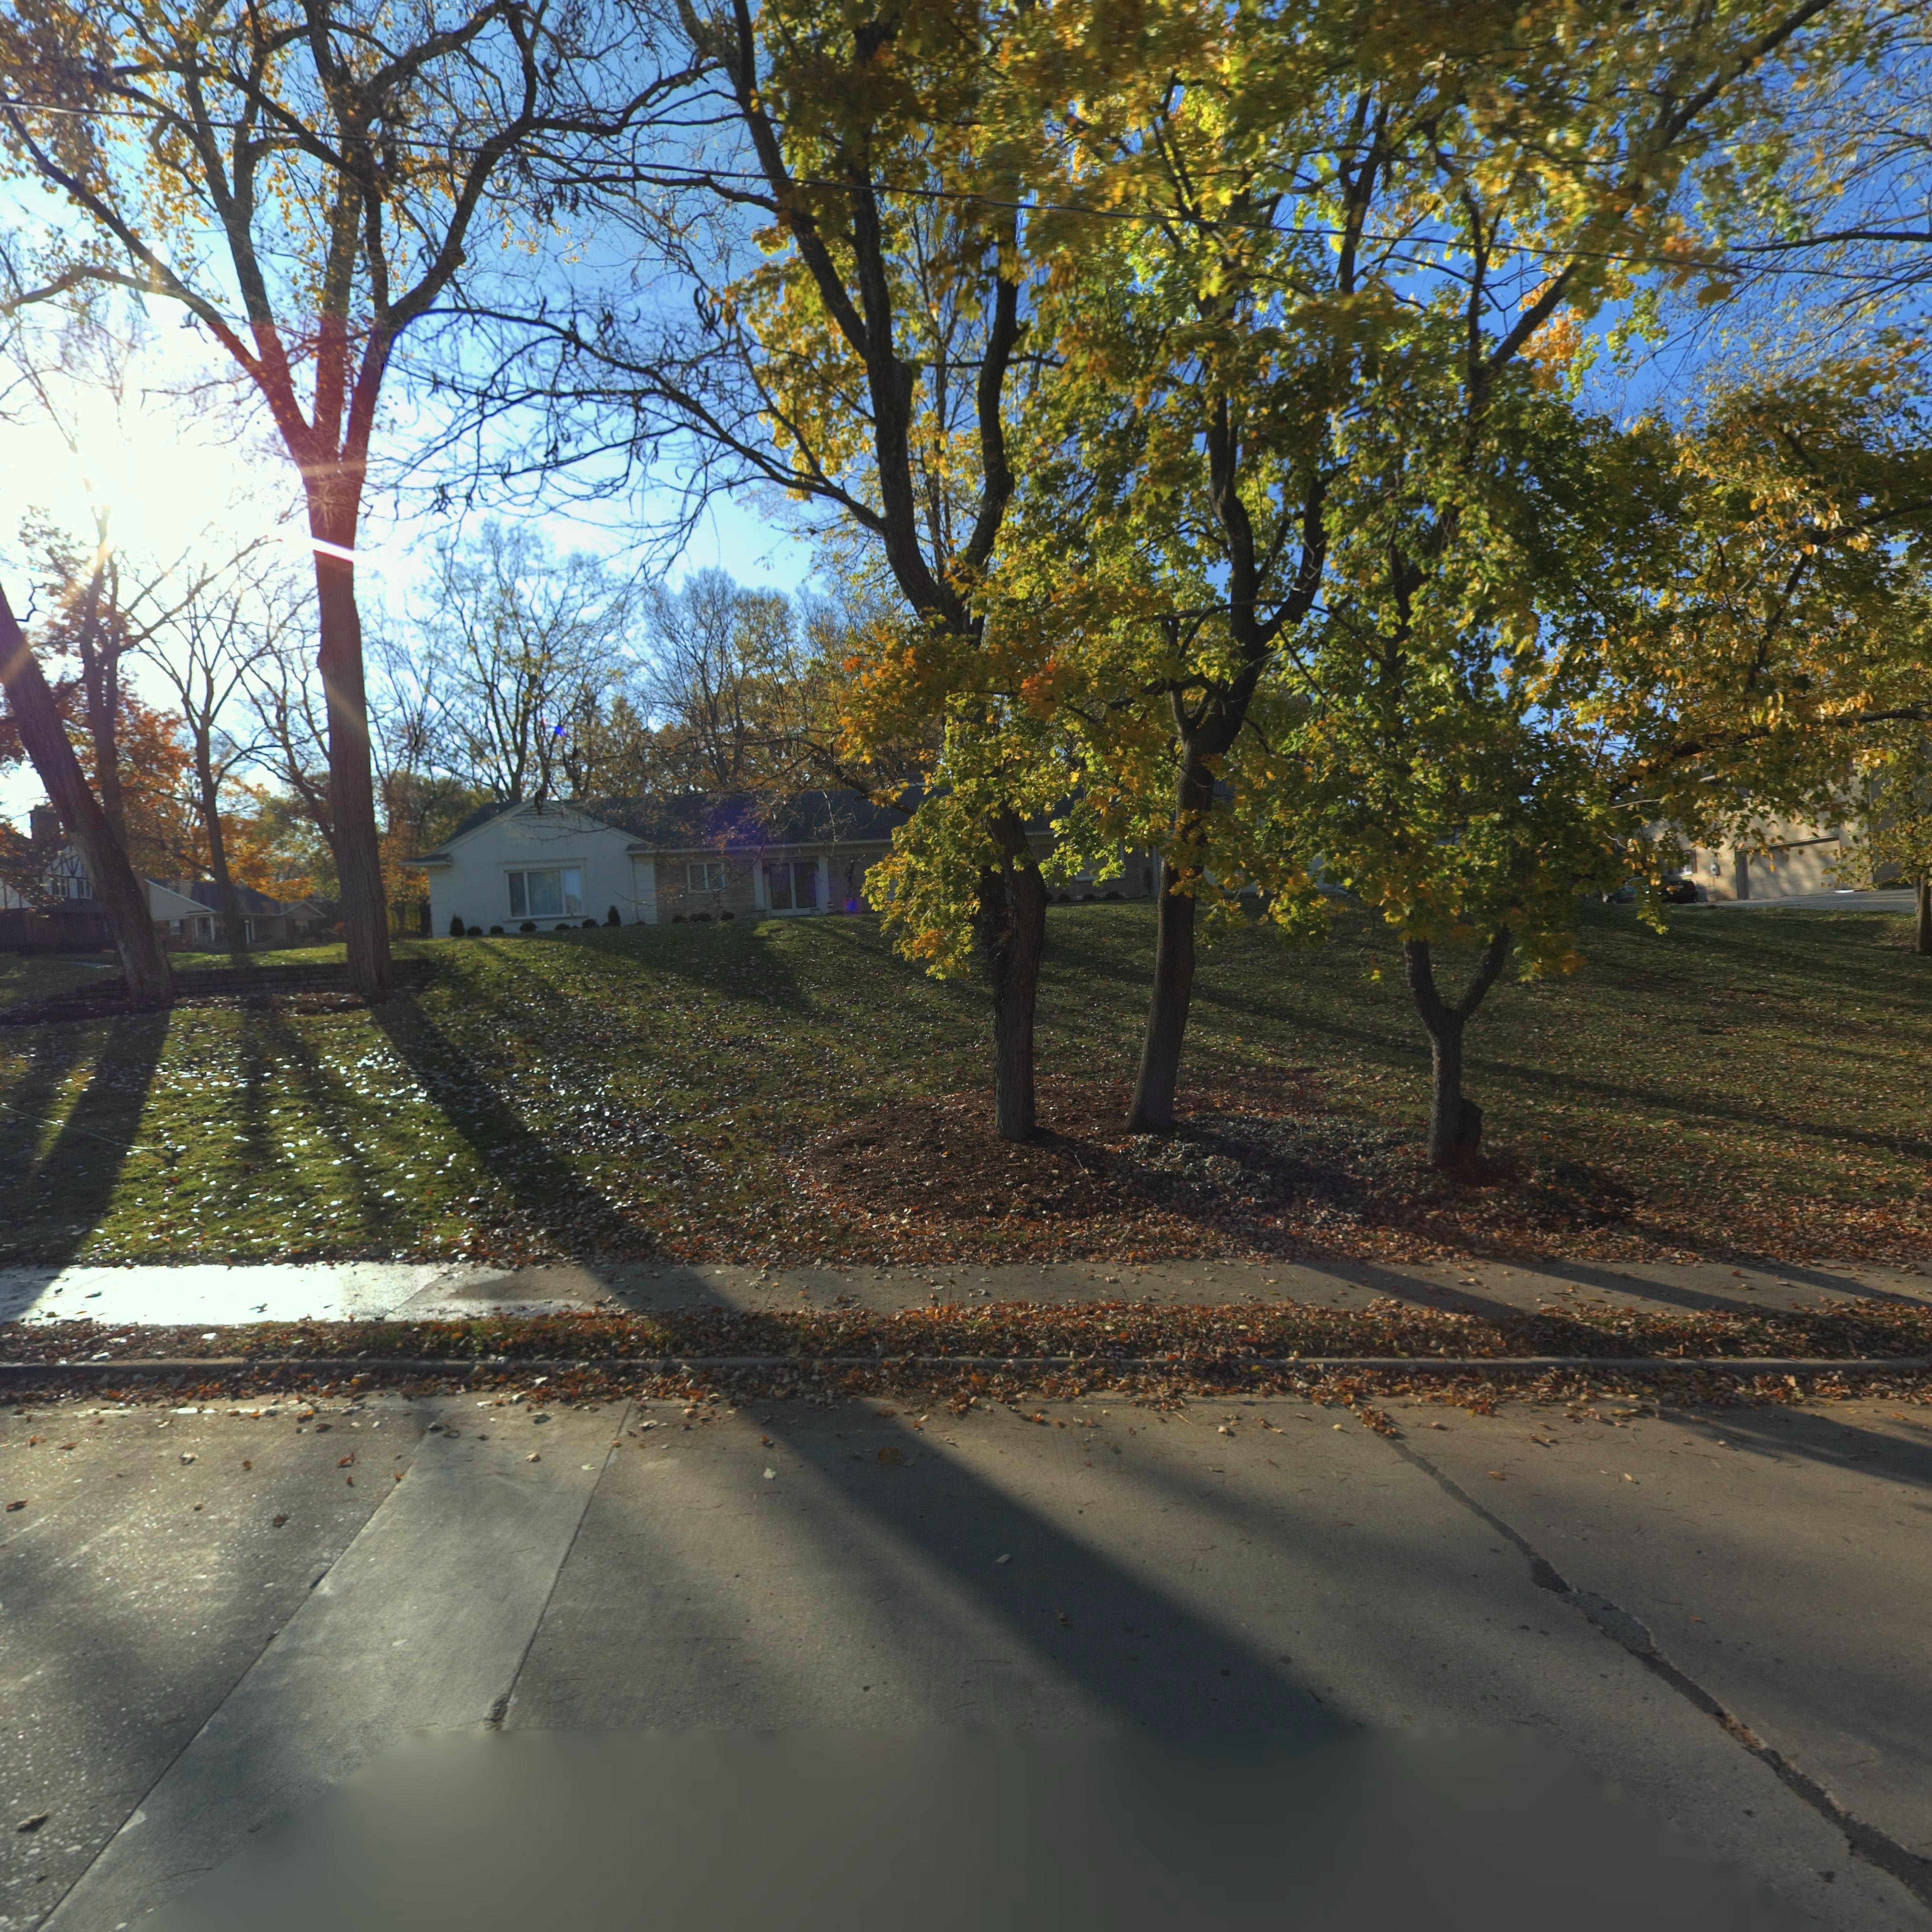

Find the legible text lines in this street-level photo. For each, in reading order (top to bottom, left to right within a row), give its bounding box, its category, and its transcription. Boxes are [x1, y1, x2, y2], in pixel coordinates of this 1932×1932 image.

[785, 851, 795, 857] StreetNumber: **5